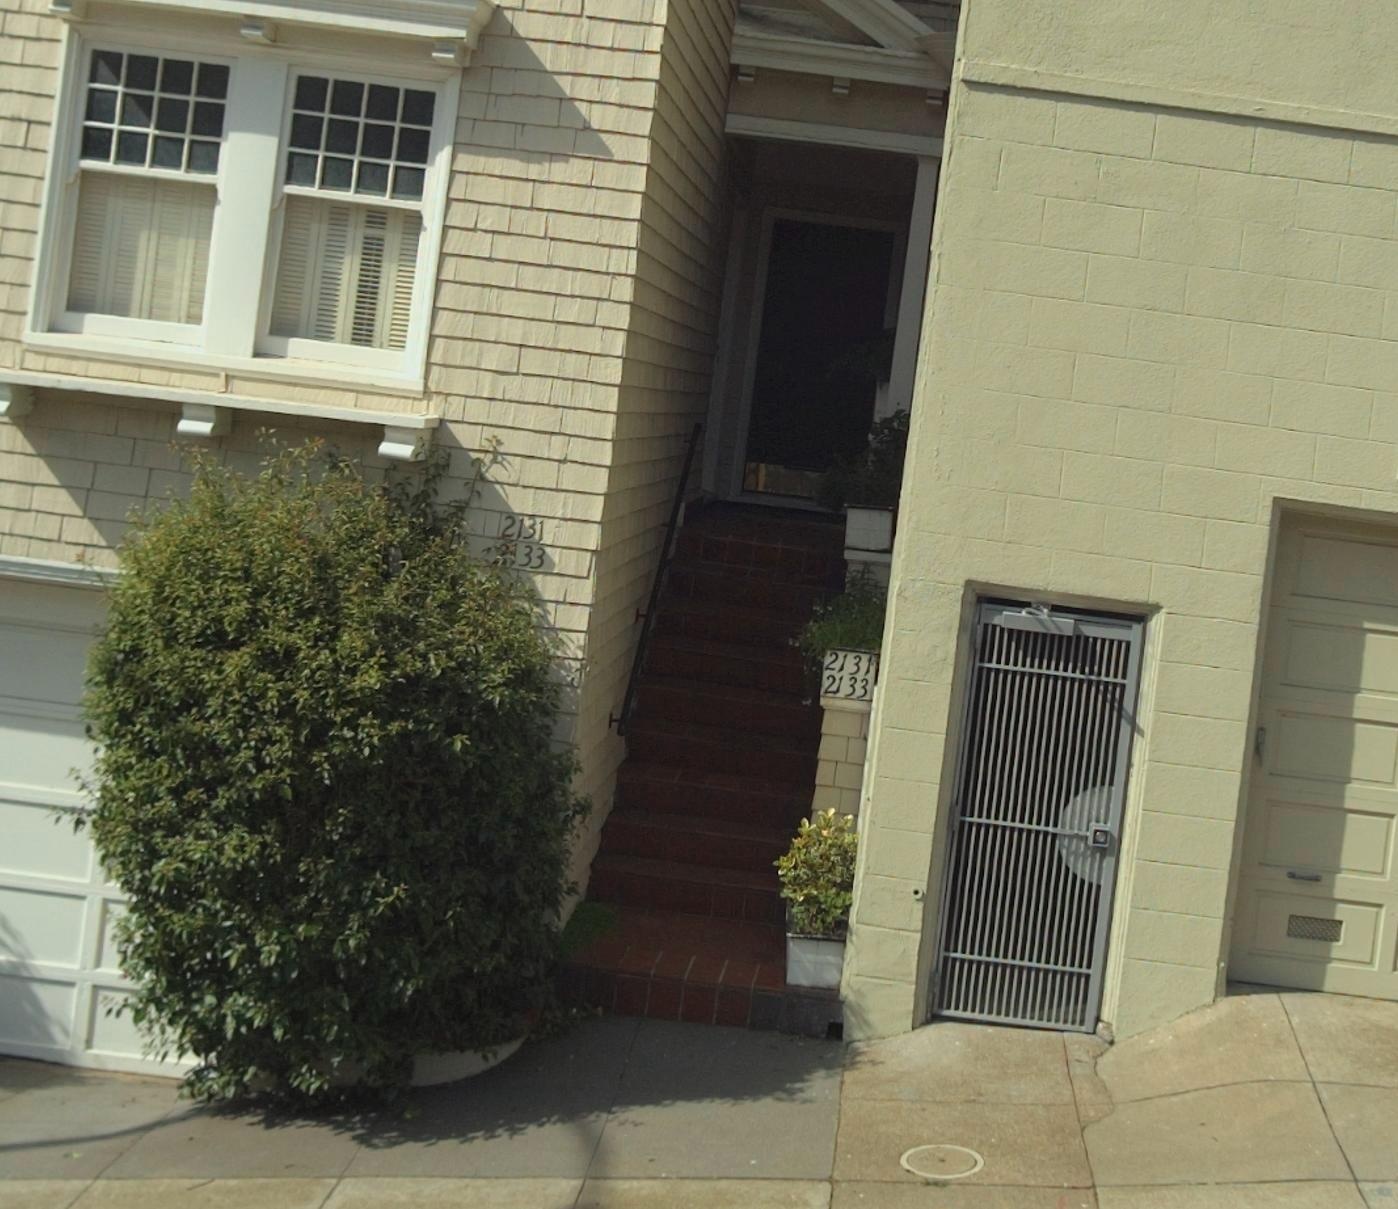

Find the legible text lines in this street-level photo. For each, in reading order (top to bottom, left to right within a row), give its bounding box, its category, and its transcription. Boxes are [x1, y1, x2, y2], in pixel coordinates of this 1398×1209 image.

[499, 512, 547, 545] StreetNumber: 2131
[515, 541, 548, 572] StreetNumber: 33
[820, 649, 874, 677] StreetNumber: 2131
[819, 673, 872, 702] StreetNumber: 2133